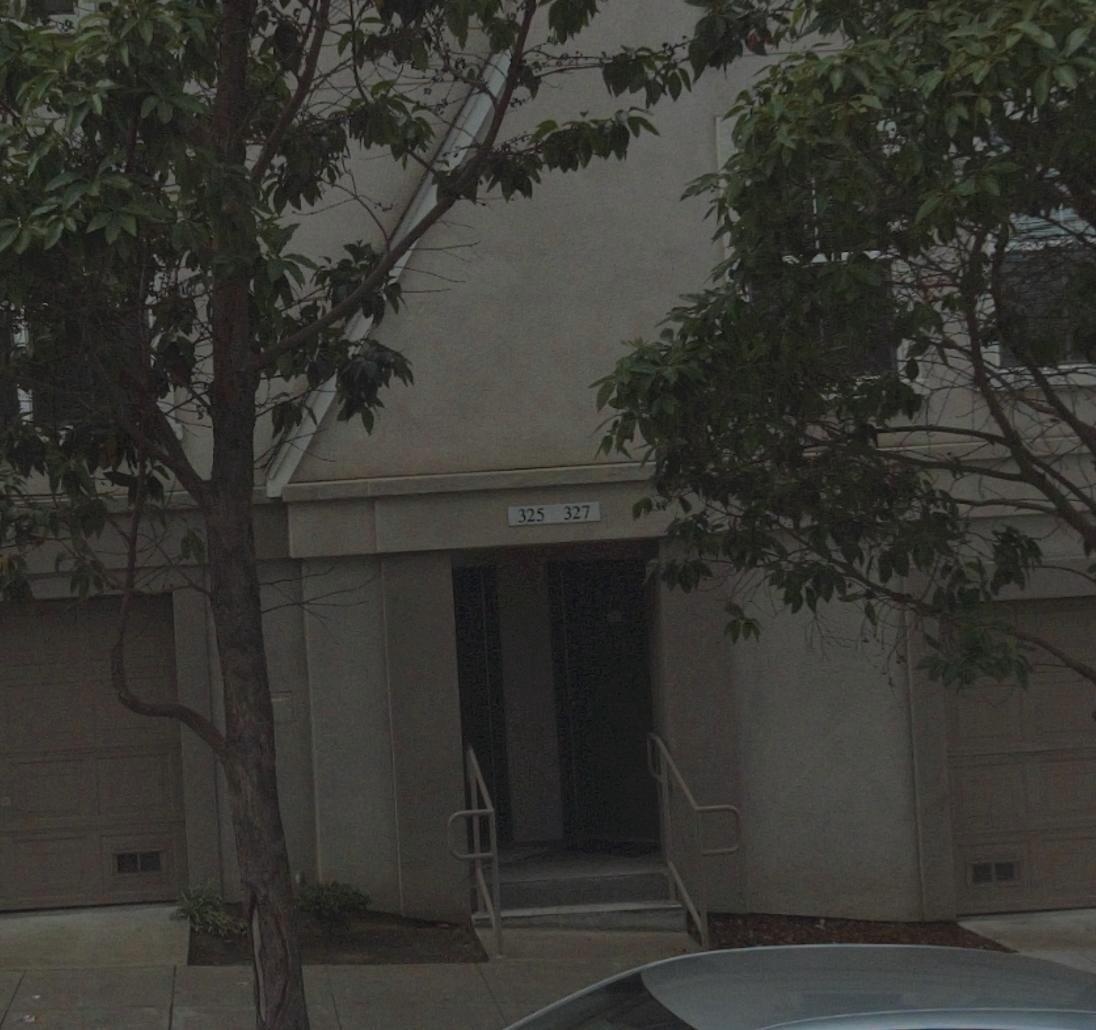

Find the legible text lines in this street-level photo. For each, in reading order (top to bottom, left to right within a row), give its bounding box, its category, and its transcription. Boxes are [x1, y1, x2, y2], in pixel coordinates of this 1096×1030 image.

[516, 506, 547, 524] StreetNumber: 325
[561, 502, 592, 523] StreetNumber: 327